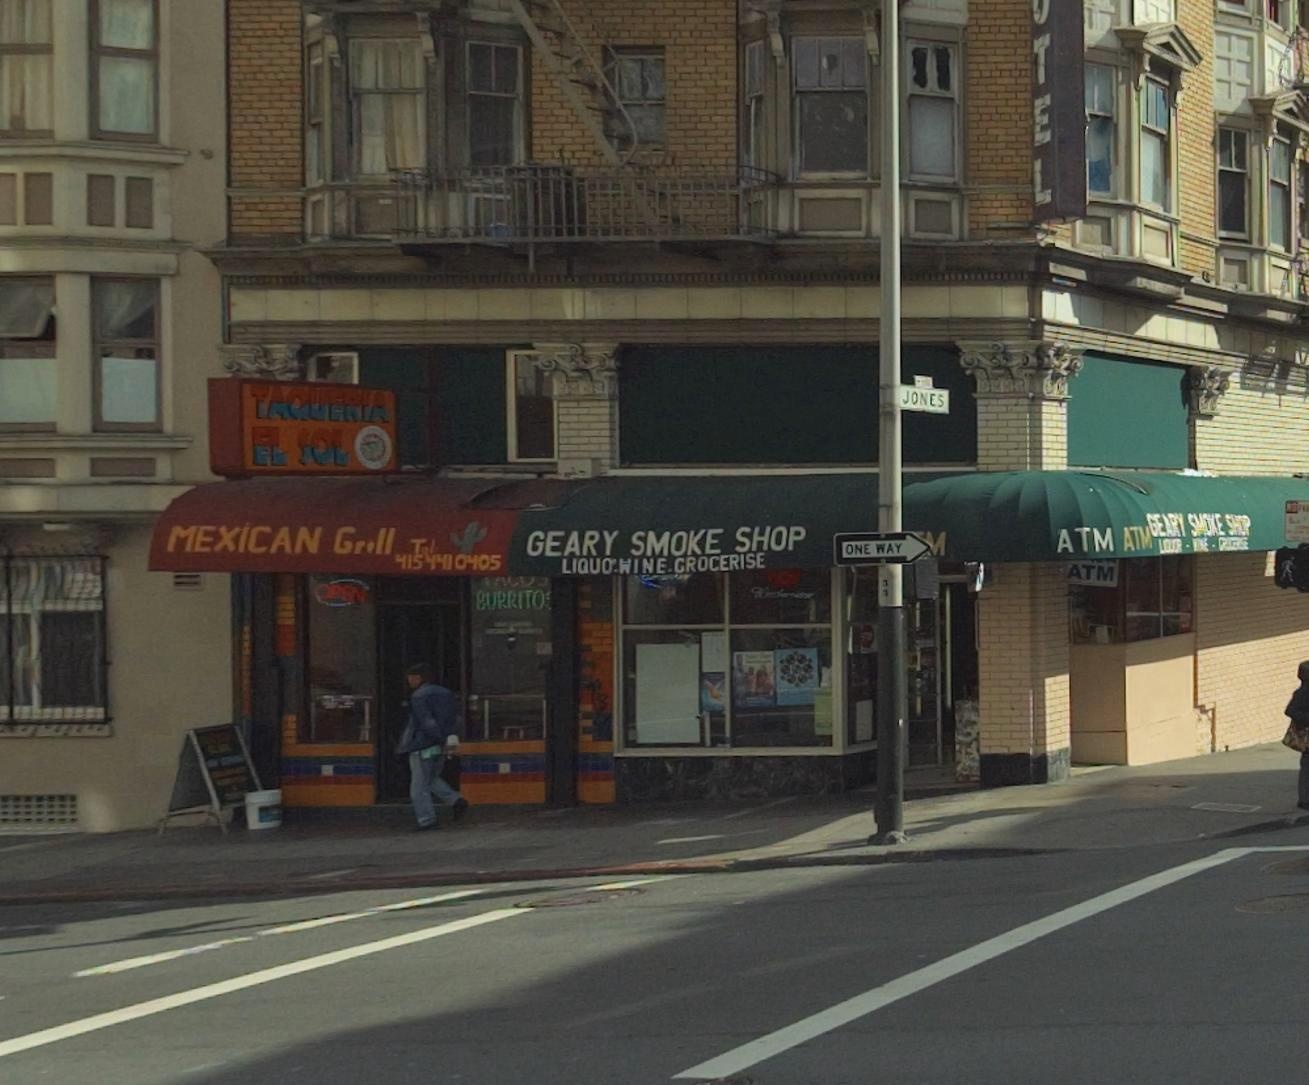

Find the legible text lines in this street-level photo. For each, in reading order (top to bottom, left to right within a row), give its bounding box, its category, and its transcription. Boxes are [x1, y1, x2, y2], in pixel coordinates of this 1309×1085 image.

[246, 384, 395, 427] BusinessName: TAQUERIA
[899, 387, 947, 411] StreetName: JONES
[250, 422, 355, 469] BusinessName: EL SOL
[162, 520, 400, 559] BusinessName: MEXICAN Grill
[407, 533, 439, 557] None: T*l
[393, 552, 505, 573] None: 415 441 0405
[560, 550, 770, 578] None: LIQUO**WINE GROCERISE
[523, 522, 810, 559] BusinessName: GEARY SMOKE SHOP
[842, 540, 907, 558] None: ONE WAY
[1053, 523, 1118, 558] None: ATM
[1064, 561, 1117, 584] None: ATM
[1121, 523, 1156, 555] None: ATM
[1155, 537, 1169, 557] None: L
[1142, 512, 1254, 540] BusinessName: GEARY SMOKE SHOP
[312, 581, 368, 606] None: OPEN
[474, 586, 548, 614] None: BURRITO